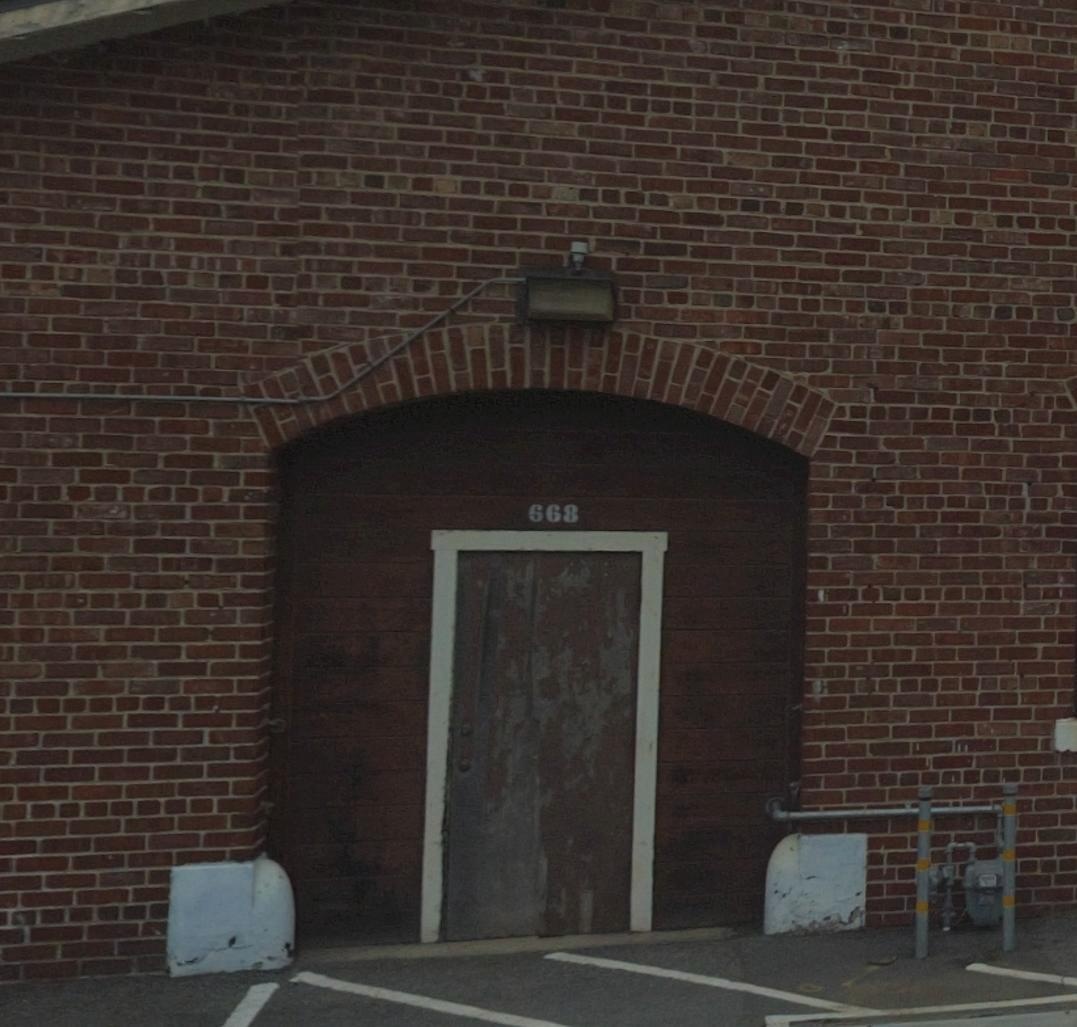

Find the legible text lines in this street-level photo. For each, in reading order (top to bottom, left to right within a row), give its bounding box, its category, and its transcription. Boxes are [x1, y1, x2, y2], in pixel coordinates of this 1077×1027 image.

[526, 503, 580, 524] StreetNumber: 668